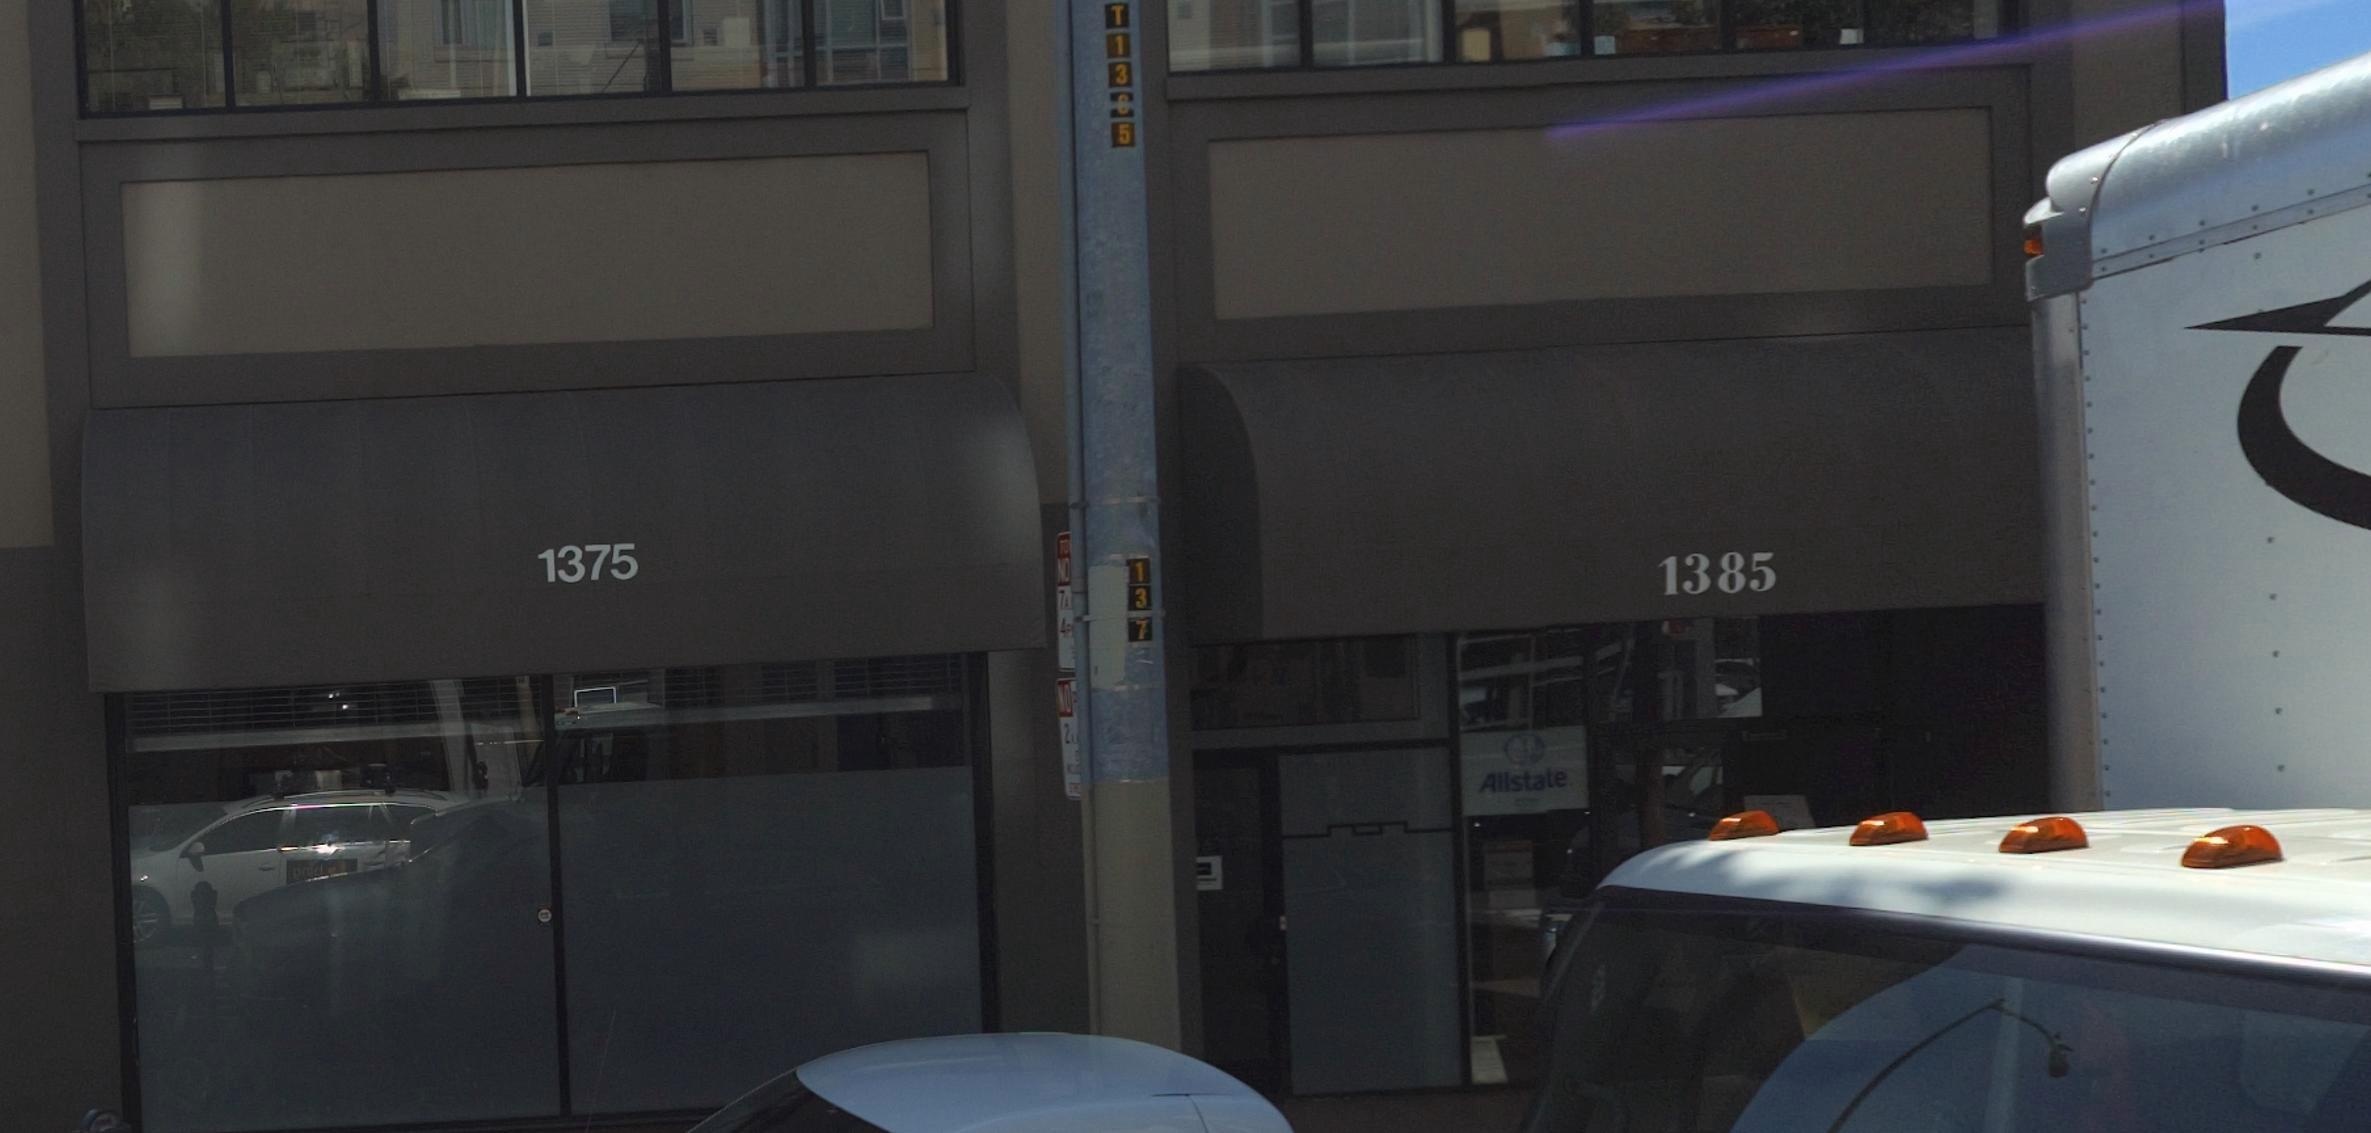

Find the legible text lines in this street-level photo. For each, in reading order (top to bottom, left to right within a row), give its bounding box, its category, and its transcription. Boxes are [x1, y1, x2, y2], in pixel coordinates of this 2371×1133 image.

[1107, 4, 1132, 147] None: T13*5
[535, 541, 640, 585] StreetNumber: 1375
[1057, 555, 1071, 584] None: NO
[1656, 549, 1779, 597] StreetNumber: 1385
[1059, 588, 1070, 611] None: 7A
[1133, 560, 1149, 641] None: 137
[1060, 615, 1072, 637] None: 4P
[1057, 683, 1072, 715] None: NO
[1062, 720, 1082, 745] None: 2AM
[1475, 765, 1574, 796] None: Allstate